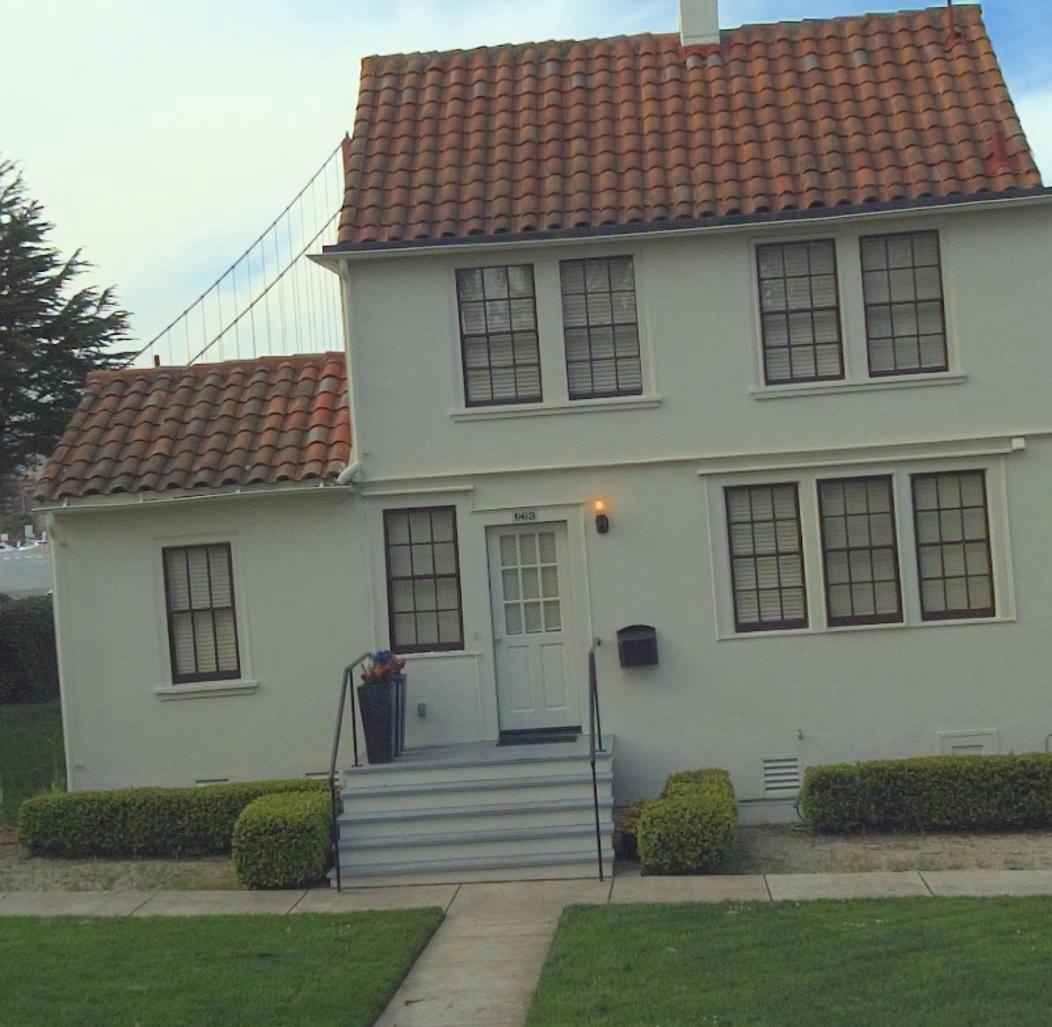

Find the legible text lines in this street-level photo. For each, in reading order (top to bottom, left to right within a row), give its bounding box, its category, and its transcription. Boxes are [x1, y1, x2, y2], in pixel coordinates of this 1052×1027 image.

[513, 510, 537, 522] StreetNumber: 963